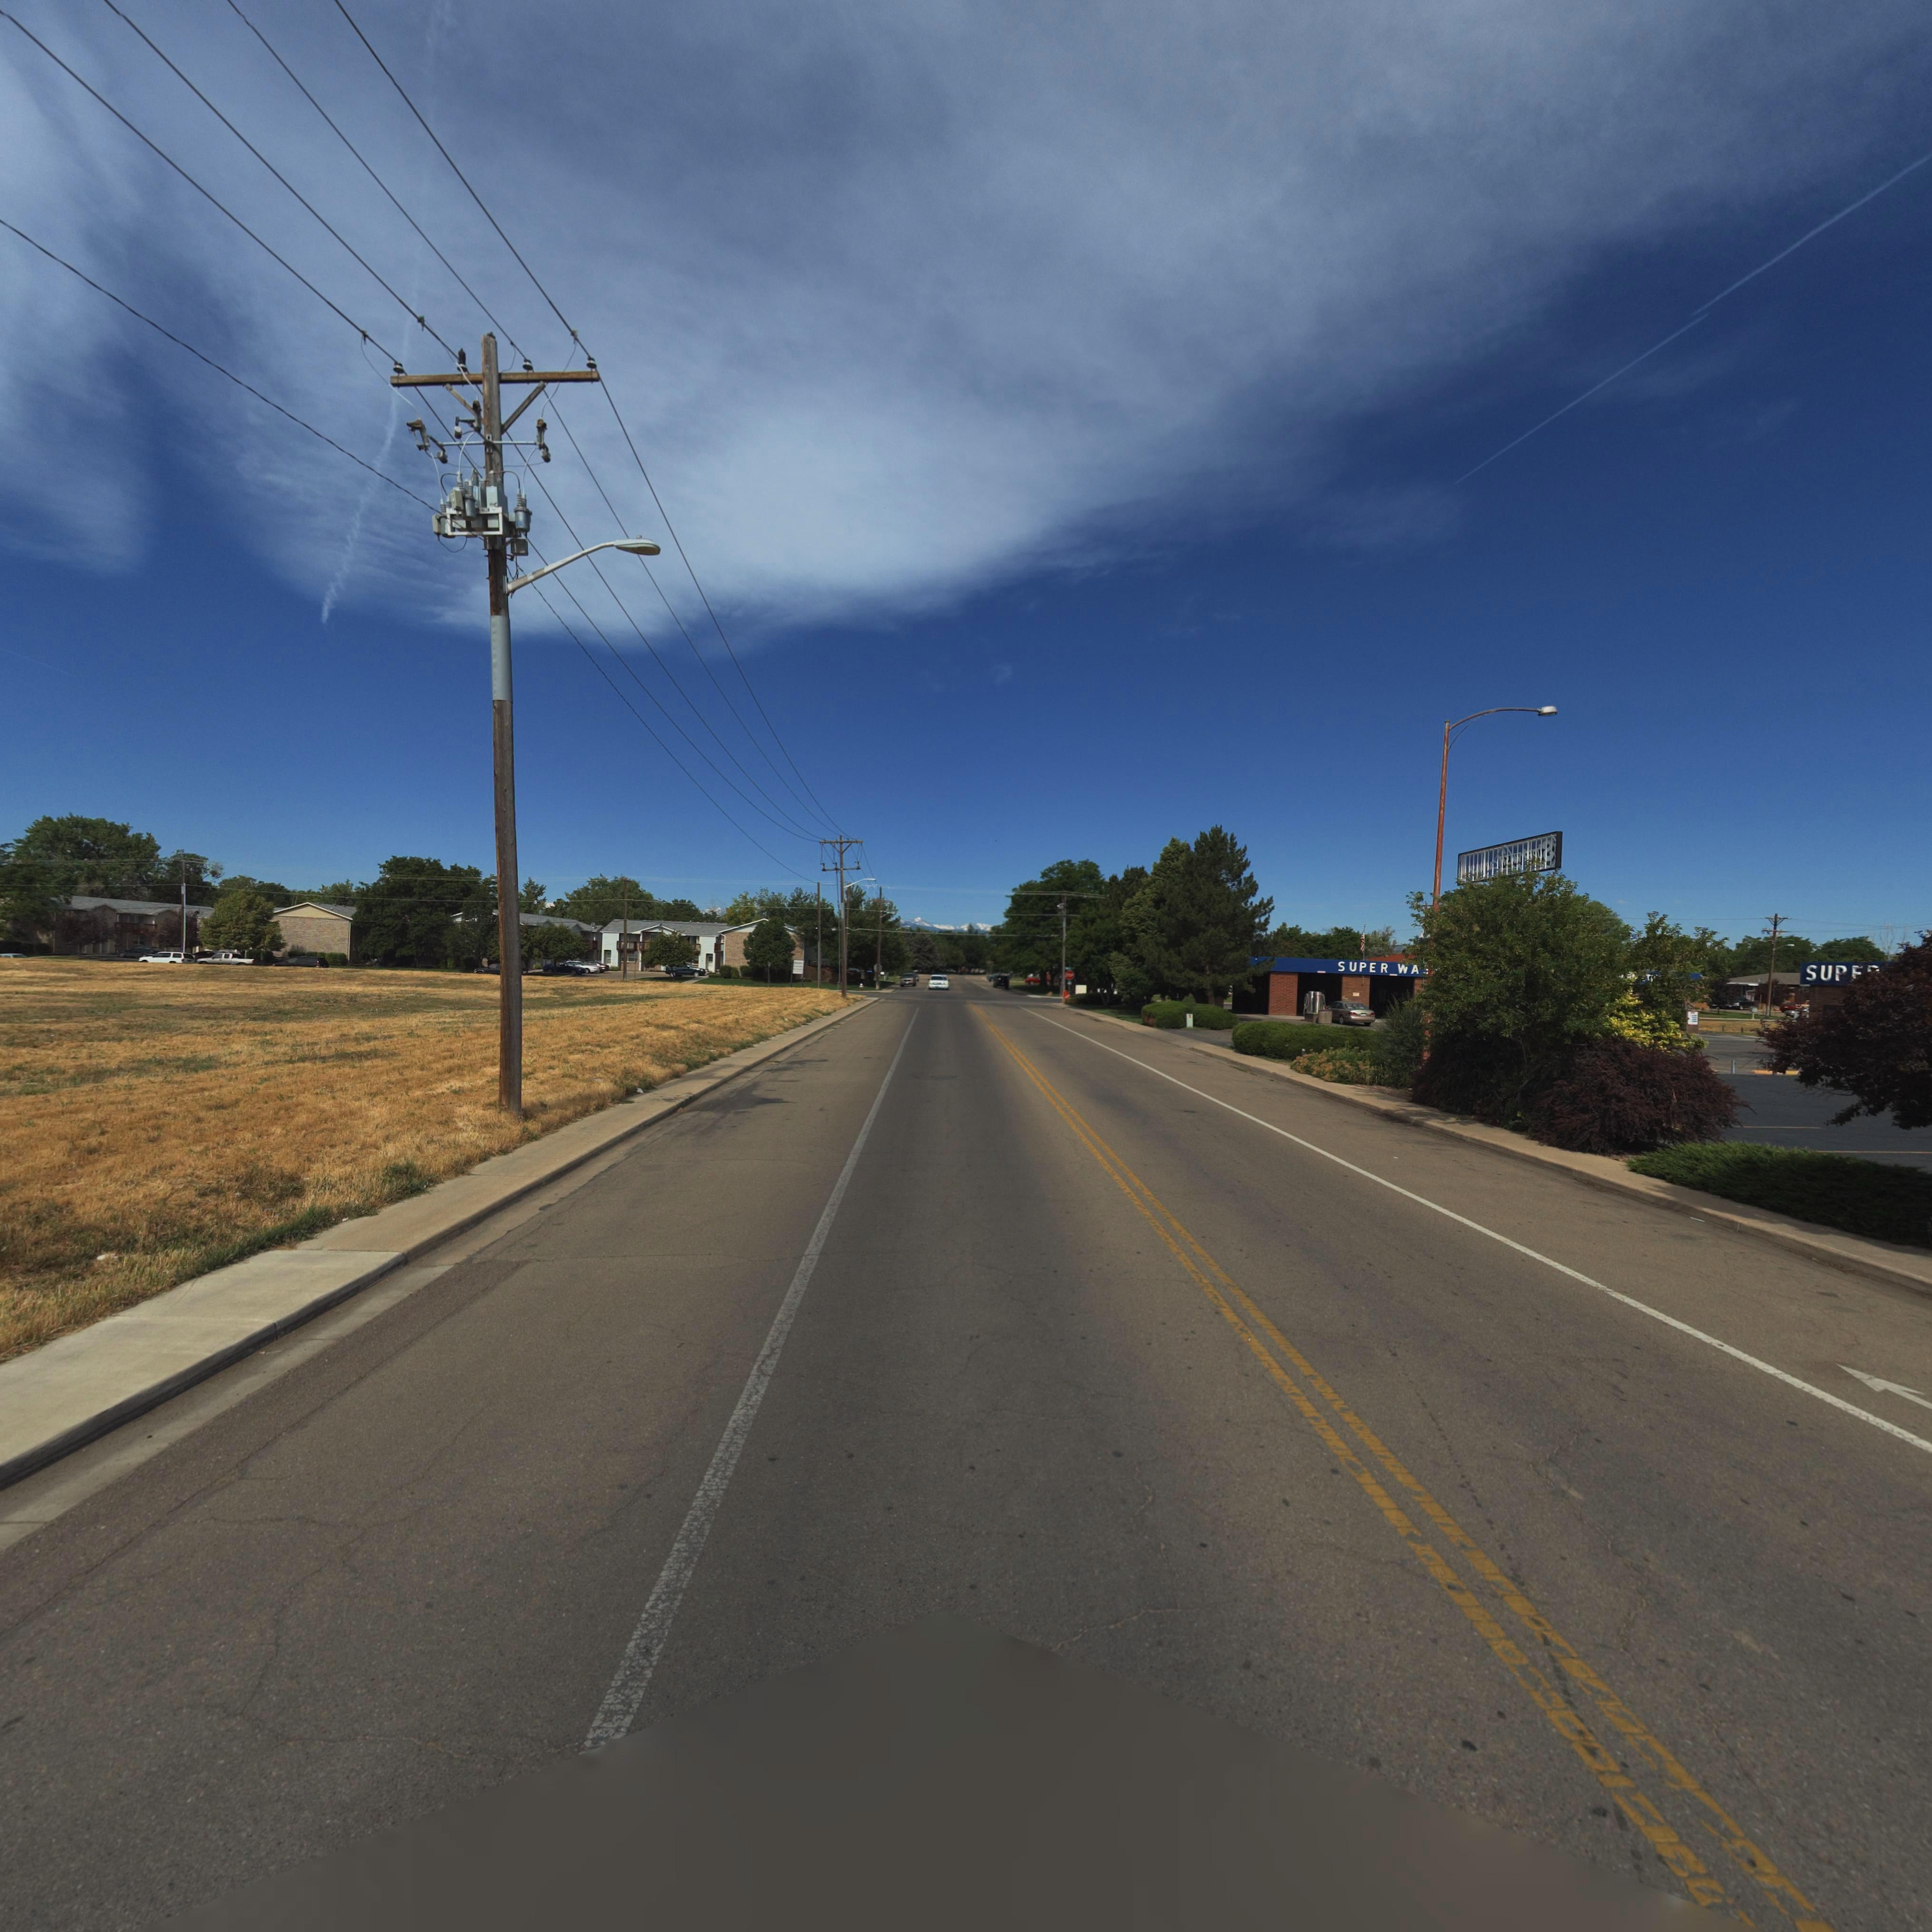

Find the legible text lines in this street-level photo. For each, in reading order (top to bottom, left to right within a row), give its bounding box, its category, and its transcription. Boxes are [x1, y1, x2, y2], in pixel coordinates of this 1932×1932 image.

[1337, 961, 1419, 975] BusinessName: SUPER WA
[1805, 964, 1880, 983] BusinessName: SUP**